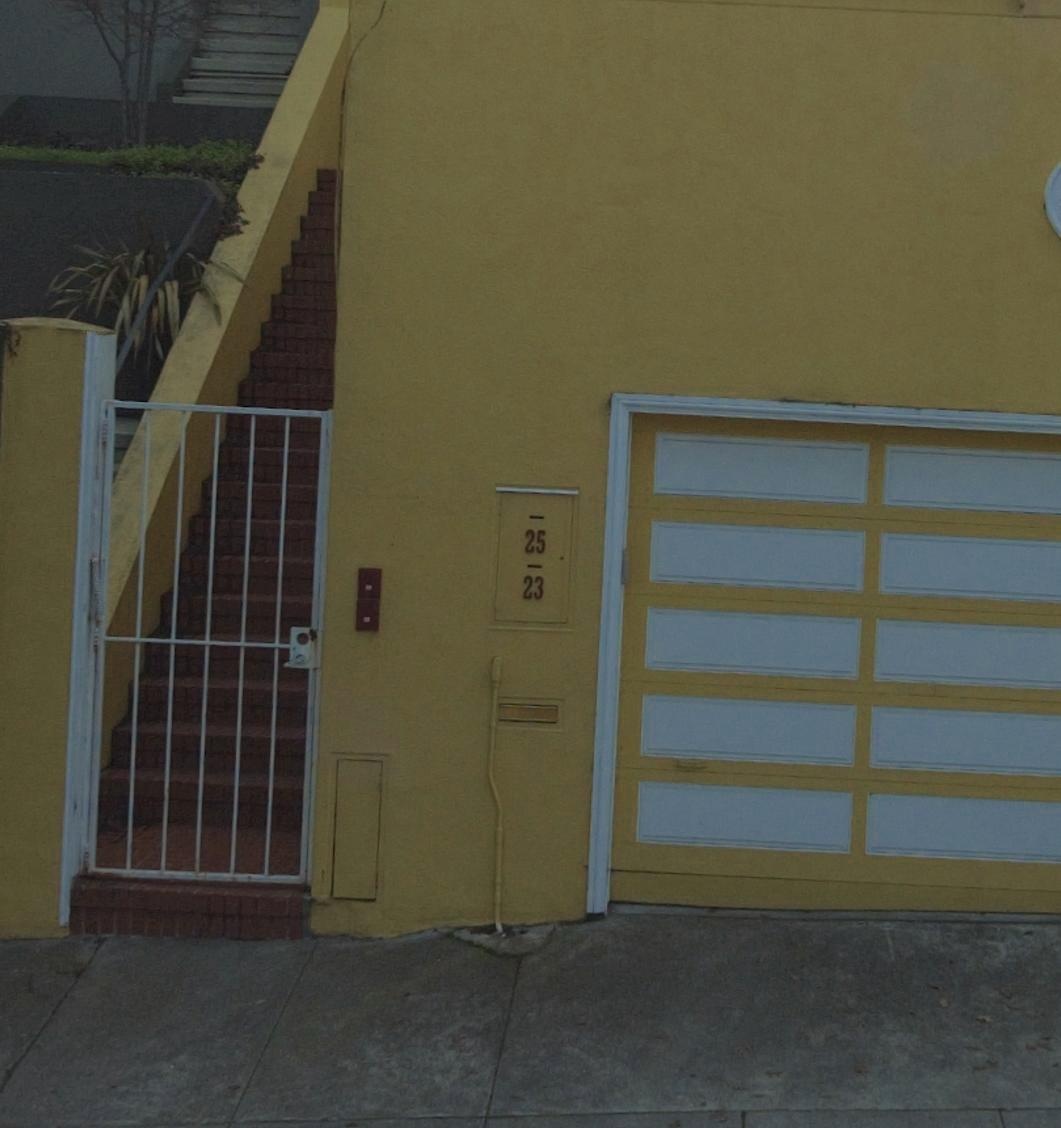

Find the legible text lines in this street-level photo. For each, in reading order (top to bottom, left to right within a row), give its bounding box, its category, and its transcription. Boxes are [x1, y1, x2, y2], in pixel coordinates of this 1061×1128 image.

[523, 527, 547, 556] StreetNumber: 25
[522, 574, 544, 600] StreetNumber: 23